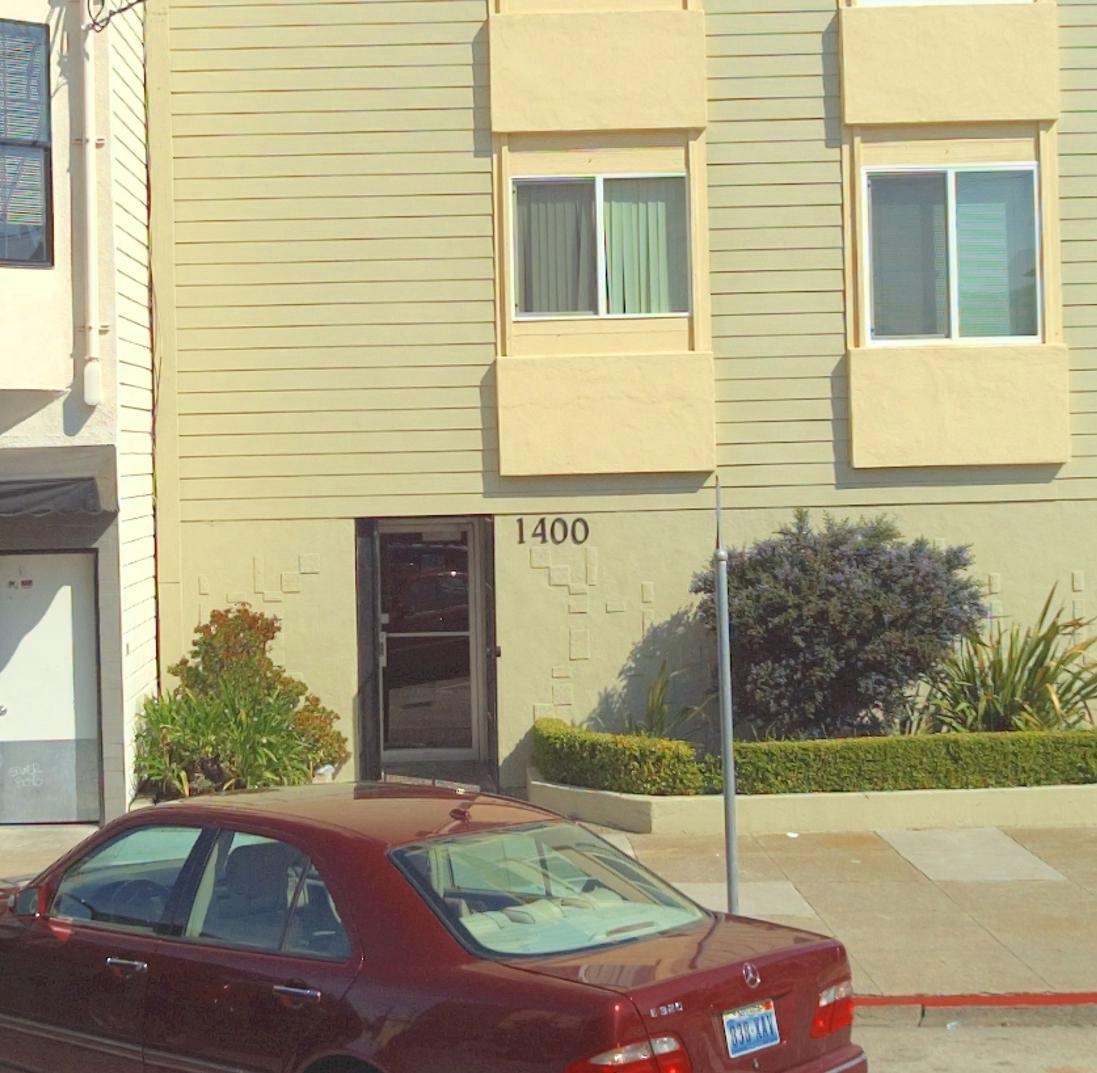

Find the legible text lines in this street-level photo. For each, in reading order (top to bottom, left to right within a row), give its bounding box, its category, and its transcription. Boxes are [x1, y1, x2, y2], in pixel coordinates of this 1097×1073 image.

[513, 516, 590, 546] StreetNumber: 1400
[647, 1000, 686, 1019] None: E 320
[727, 1013, 778, 1049] None: 383-XAV